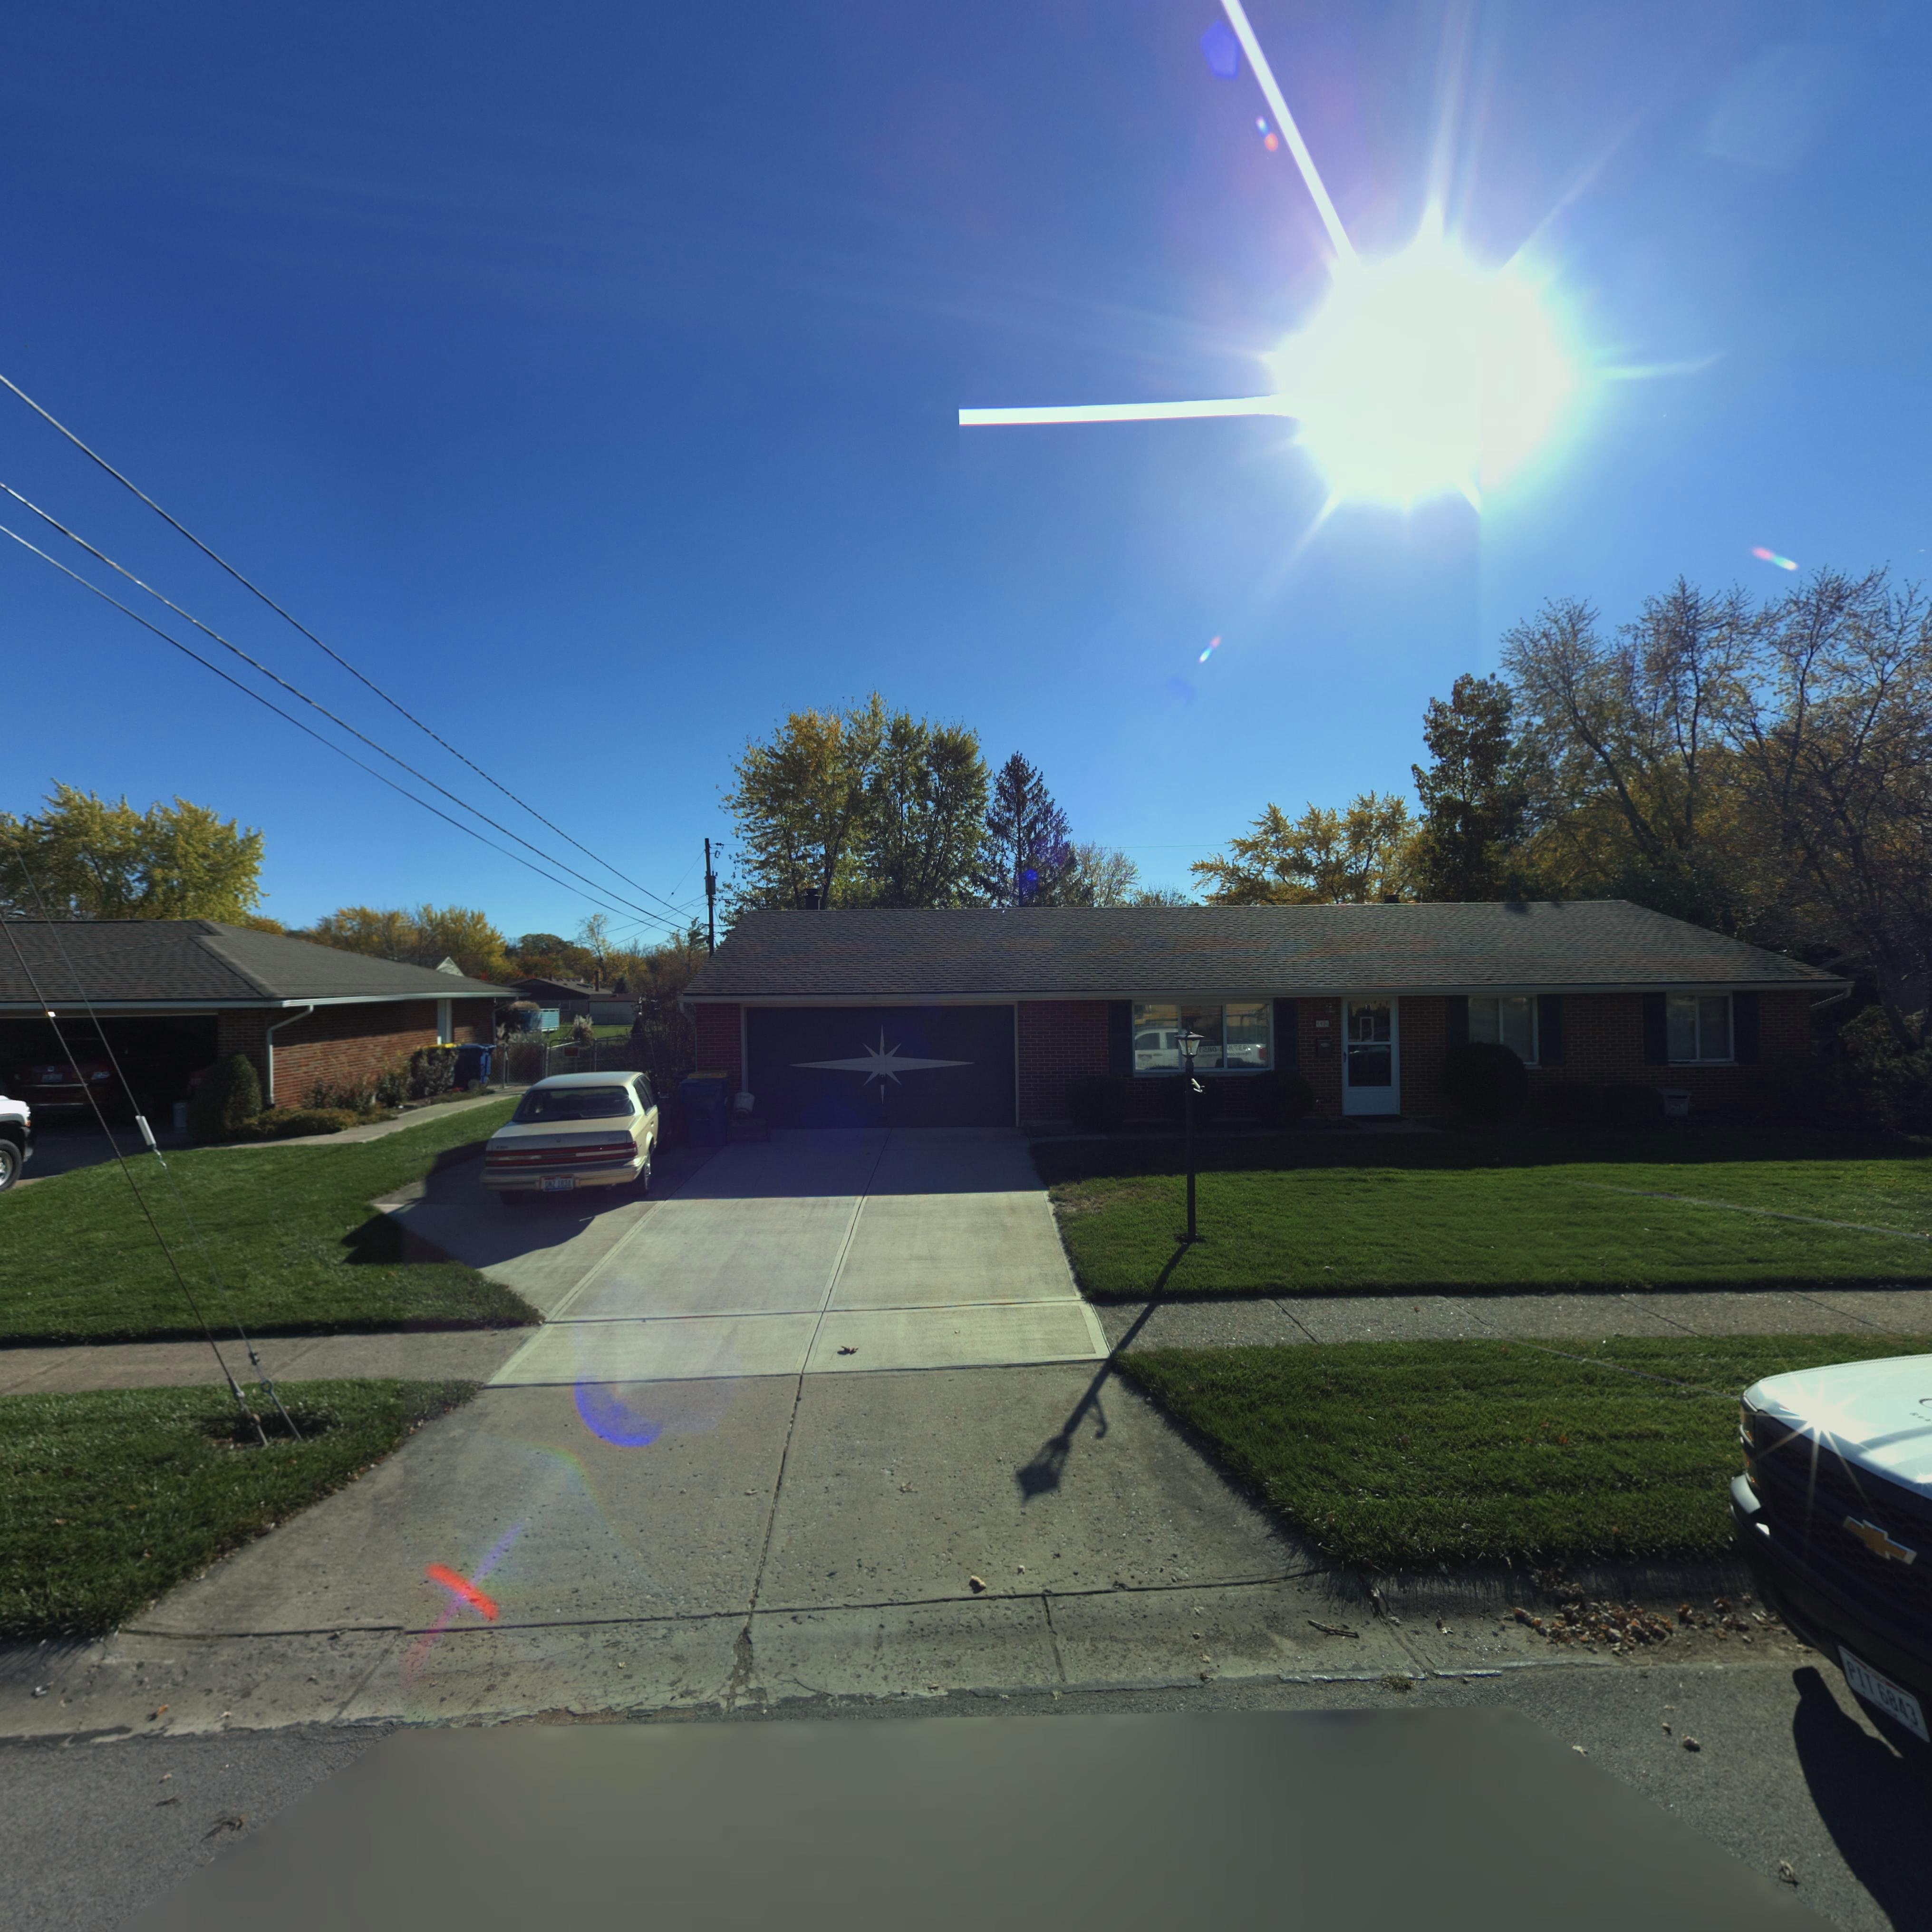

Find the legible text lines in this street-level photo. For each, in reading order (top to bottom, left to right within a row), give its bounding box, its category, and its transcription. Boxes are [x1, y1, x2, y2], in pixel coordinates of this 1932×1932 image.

[1316, 1020, 1329, 1027] StreetNumber: 4406